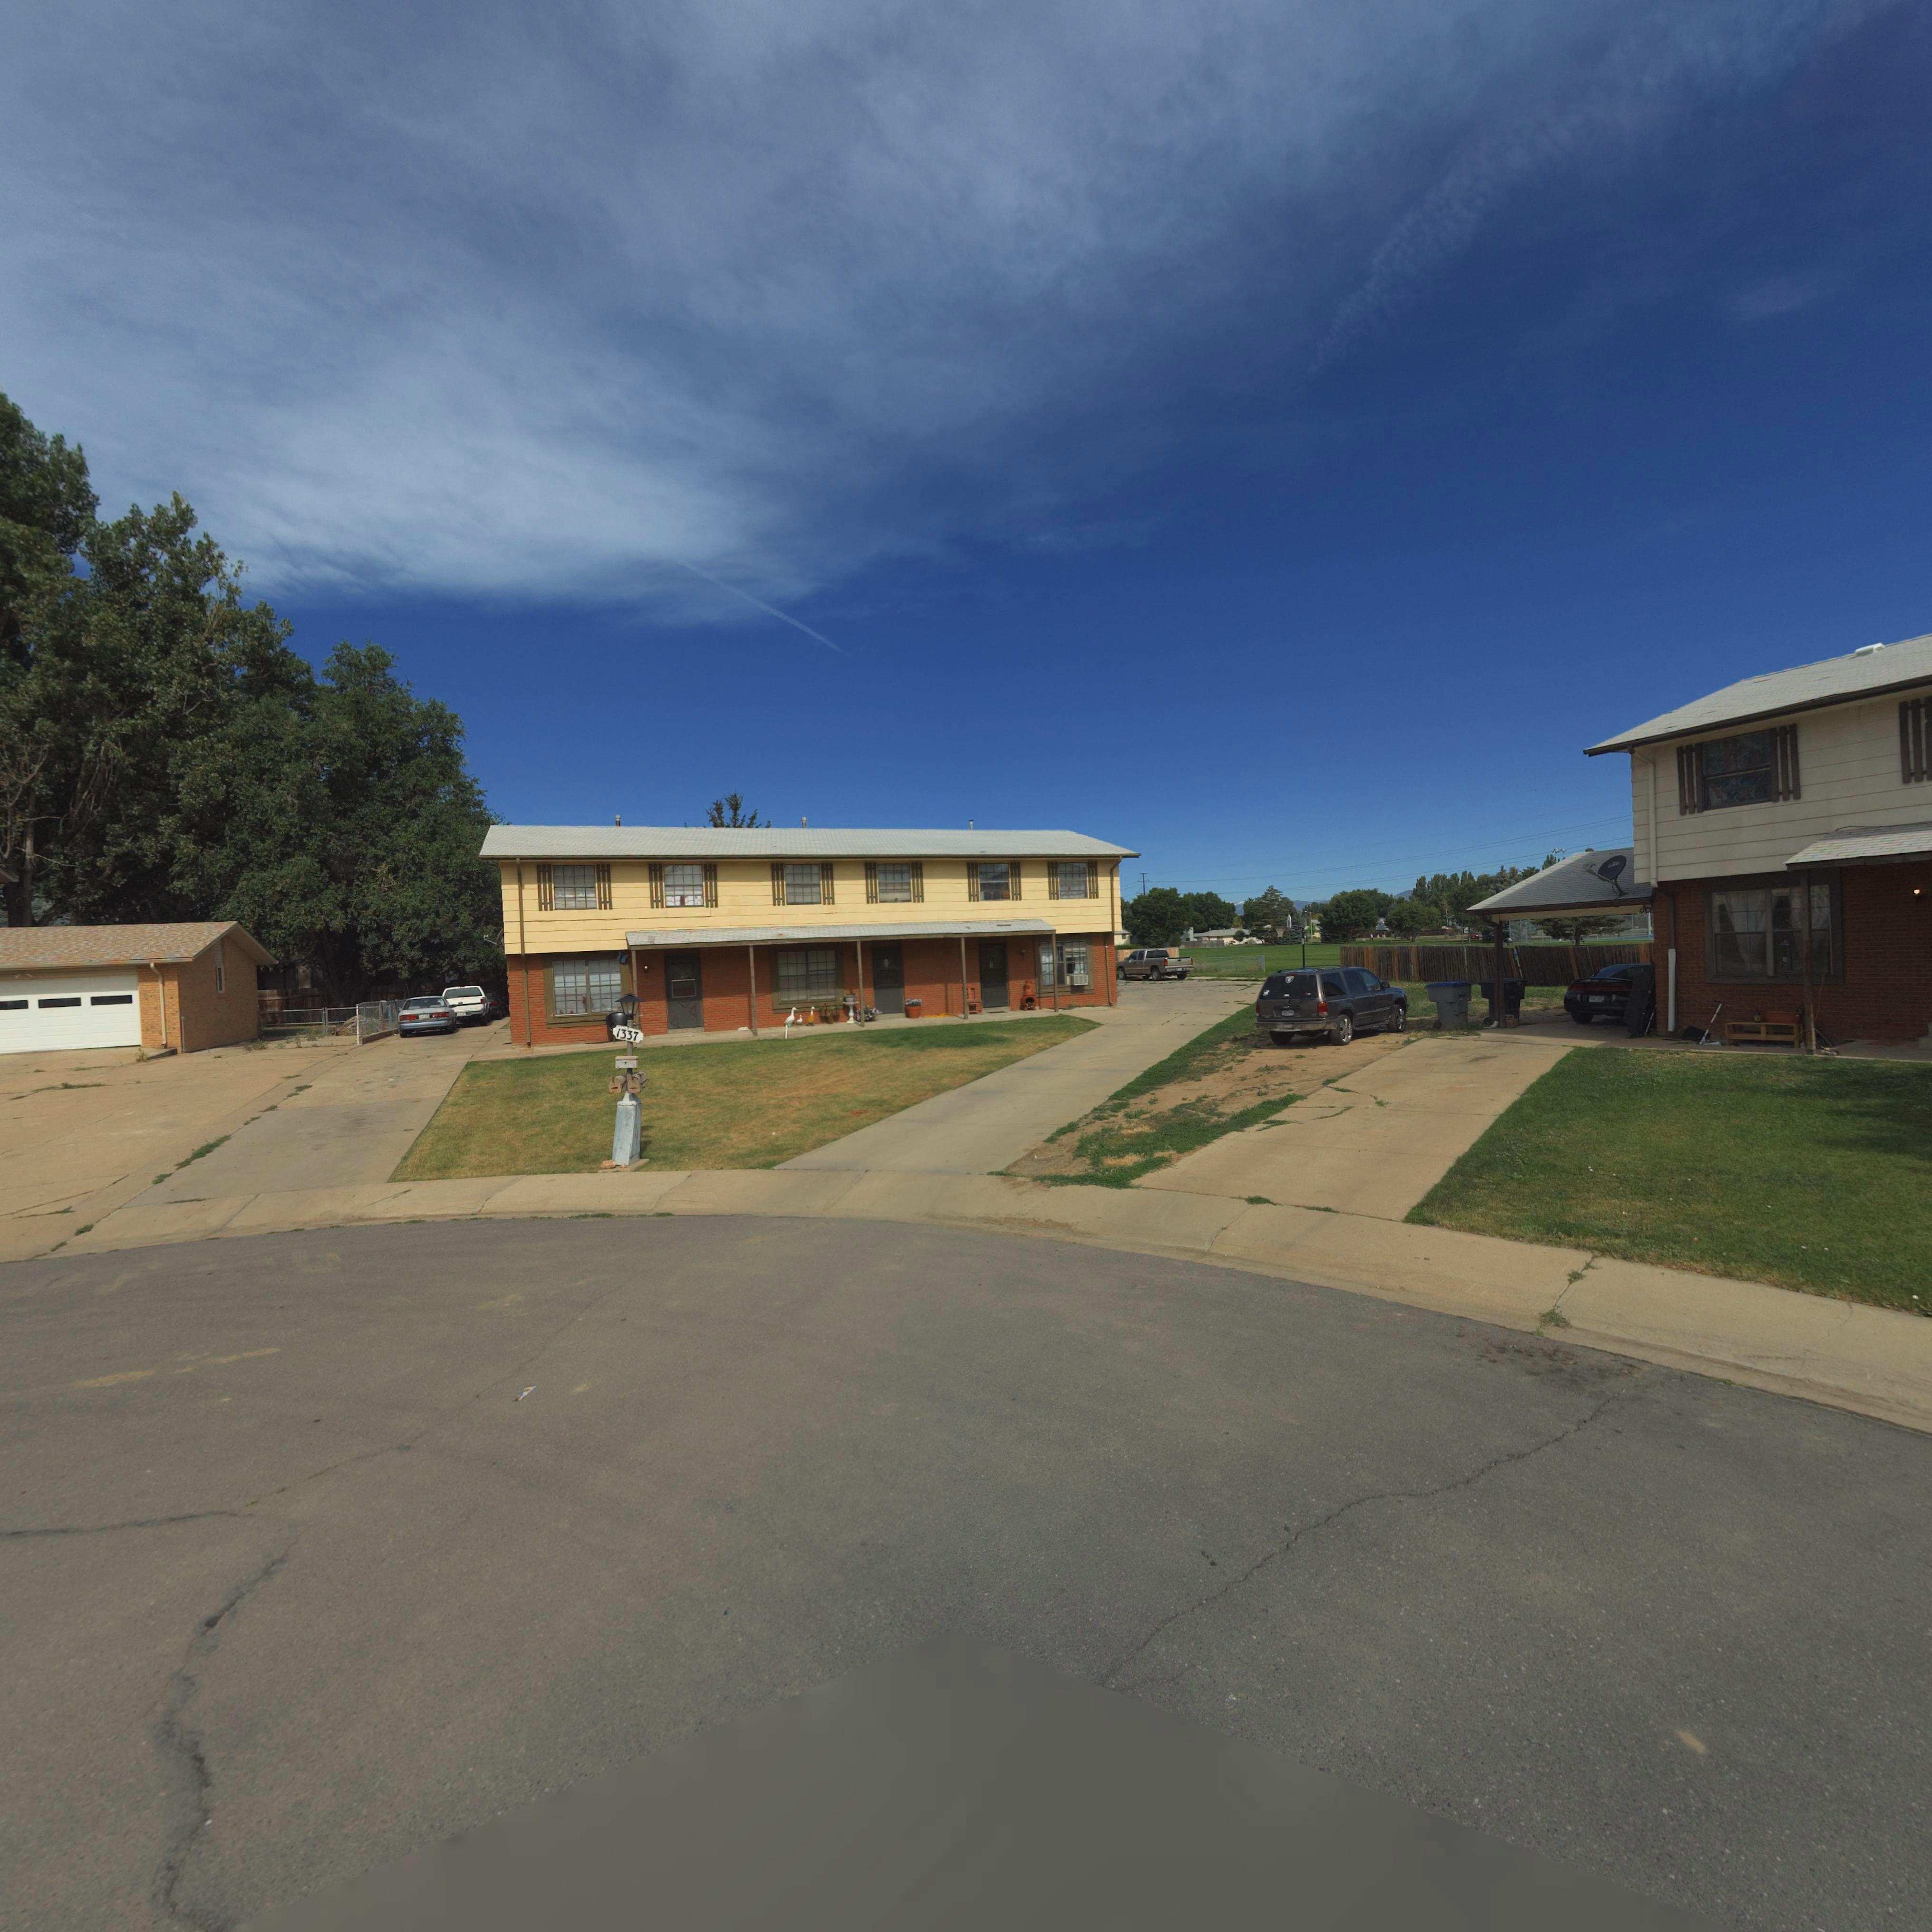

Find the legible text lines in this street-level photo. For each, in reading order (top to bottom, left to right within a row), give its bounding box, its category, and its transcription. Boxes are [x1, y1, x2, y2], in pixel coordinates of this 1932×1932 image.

[616, 1028, 639, 1041] StreetNumber: 1337